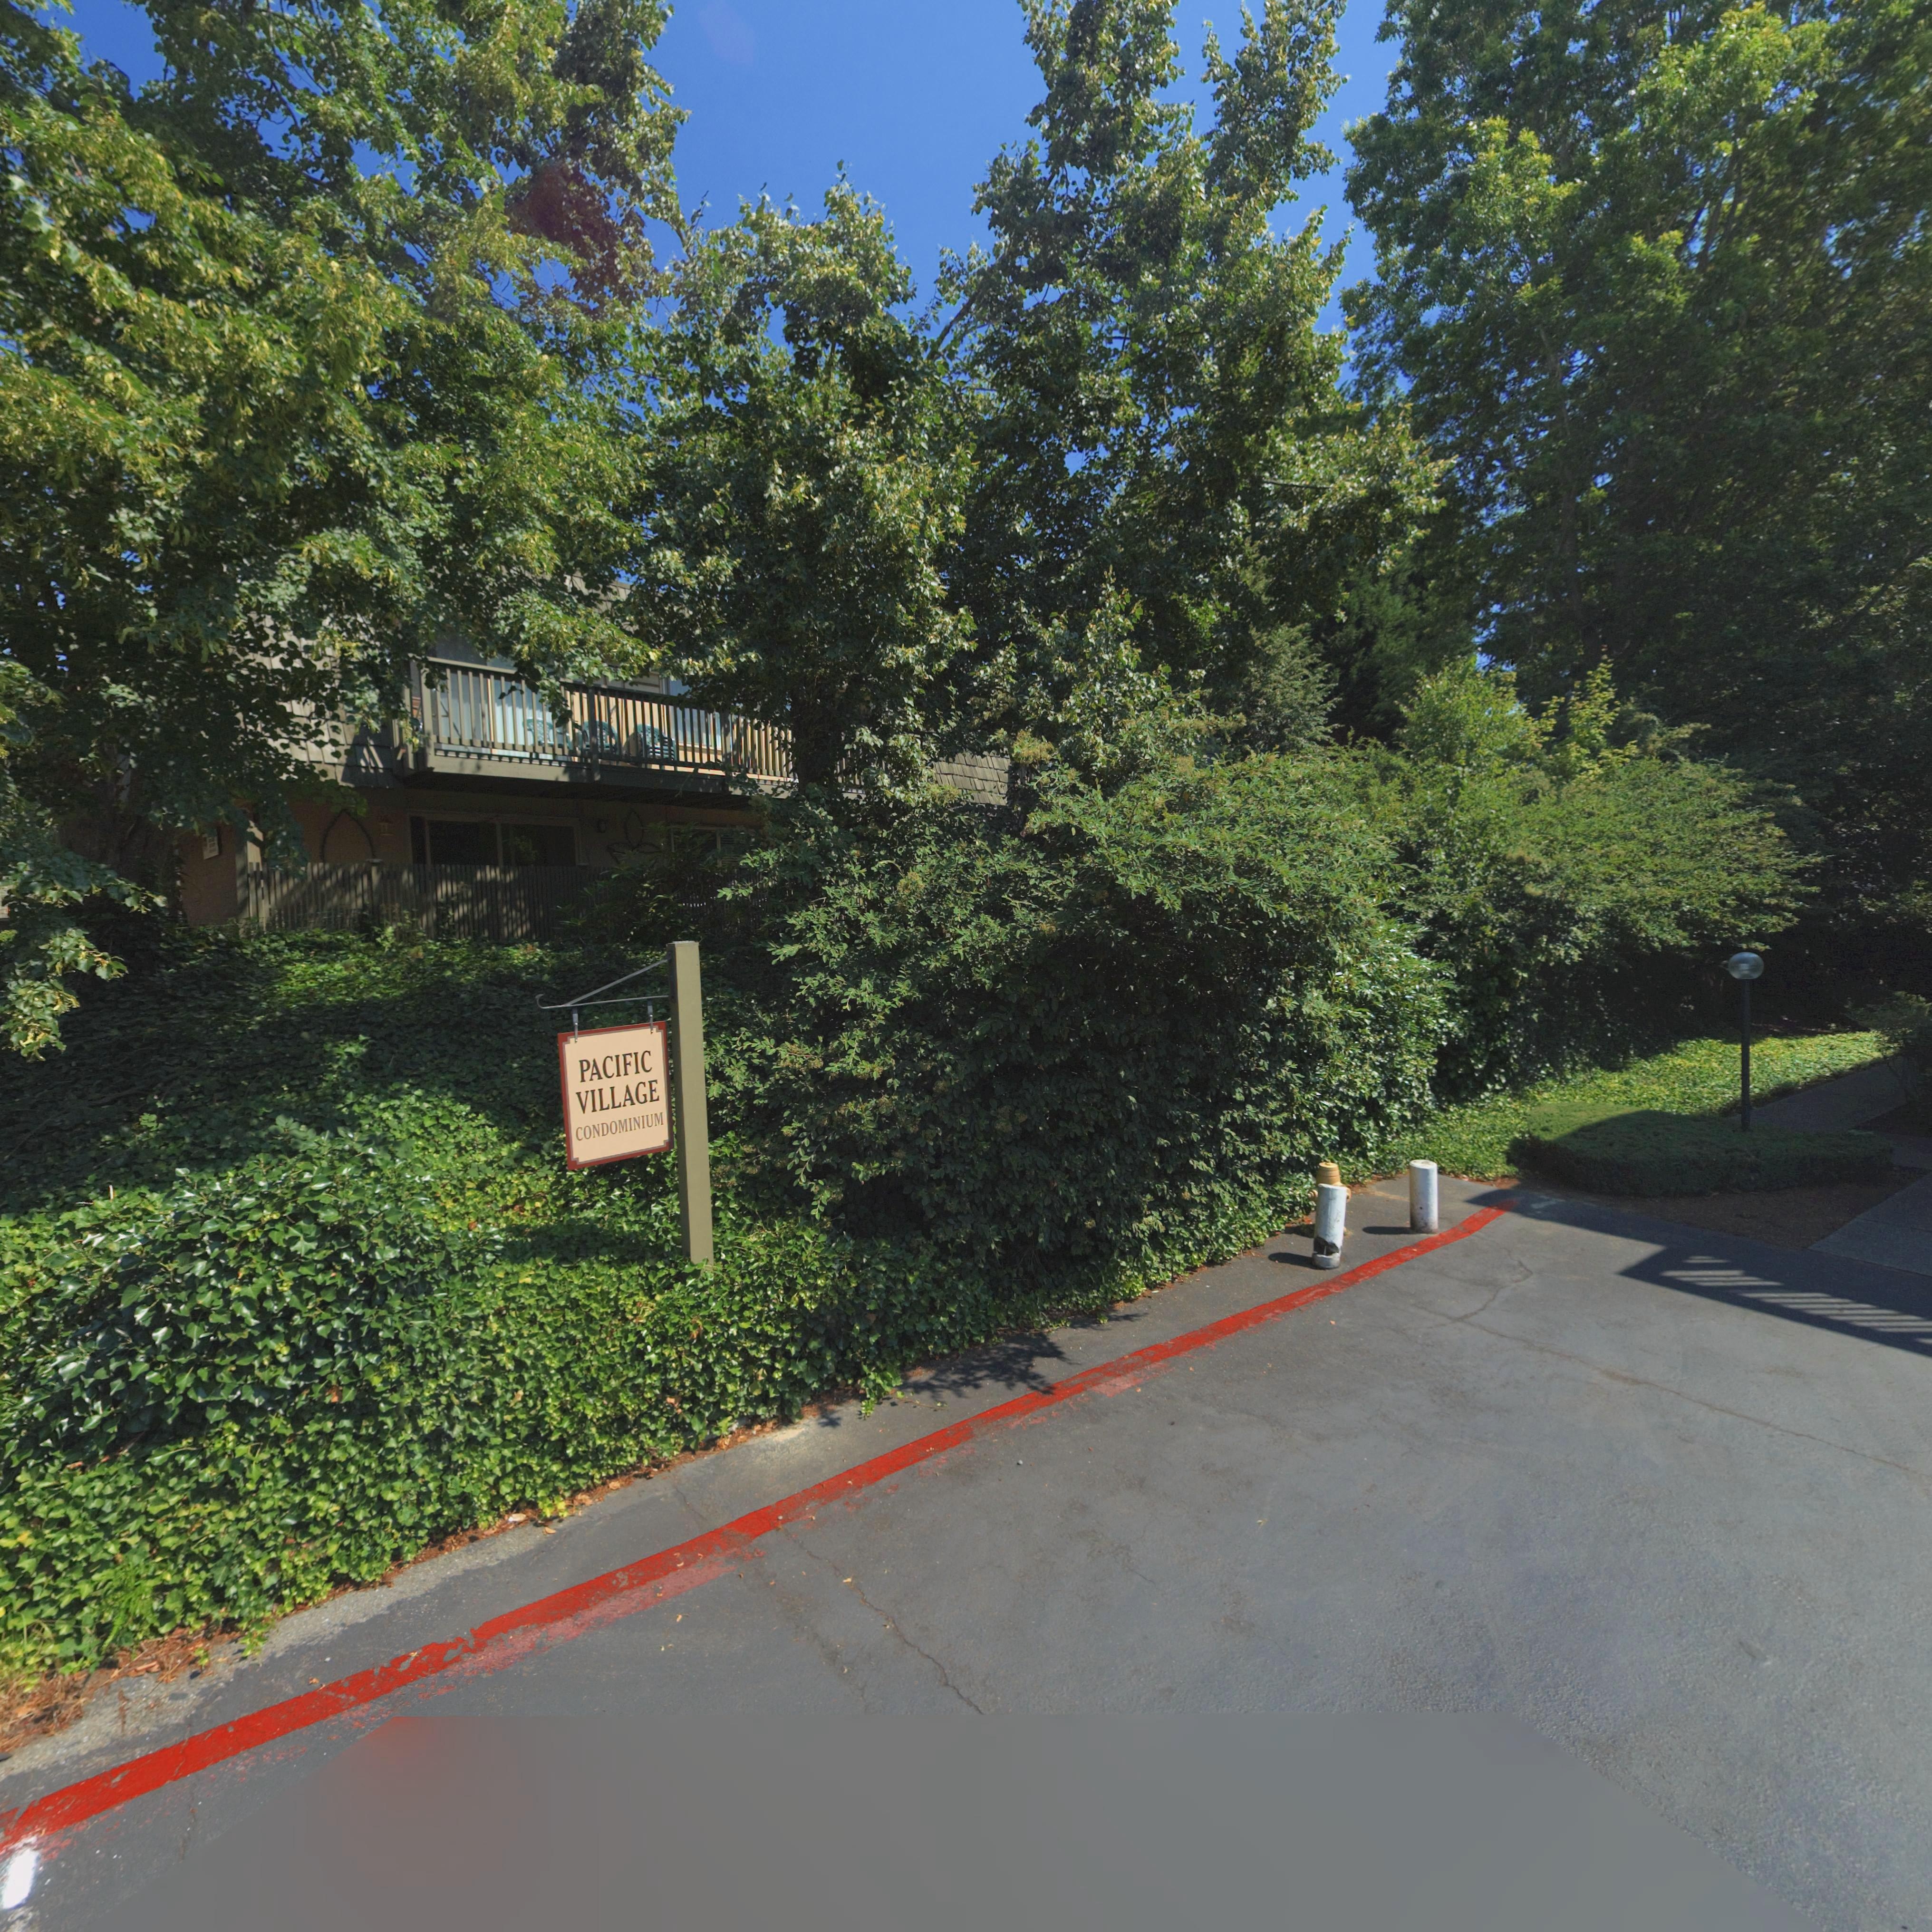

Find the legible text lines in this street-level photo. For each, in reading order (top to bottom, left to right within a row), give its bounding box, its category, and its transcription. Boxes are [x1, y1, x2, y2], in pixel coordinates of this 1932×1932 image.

[578, 1050, 653, 1082] BusinessName: PACIFIC
[575, 1078, 663, 1113] None: VILLAGE
[571, 1110, 669, 1143] None: CONDOMINIUM